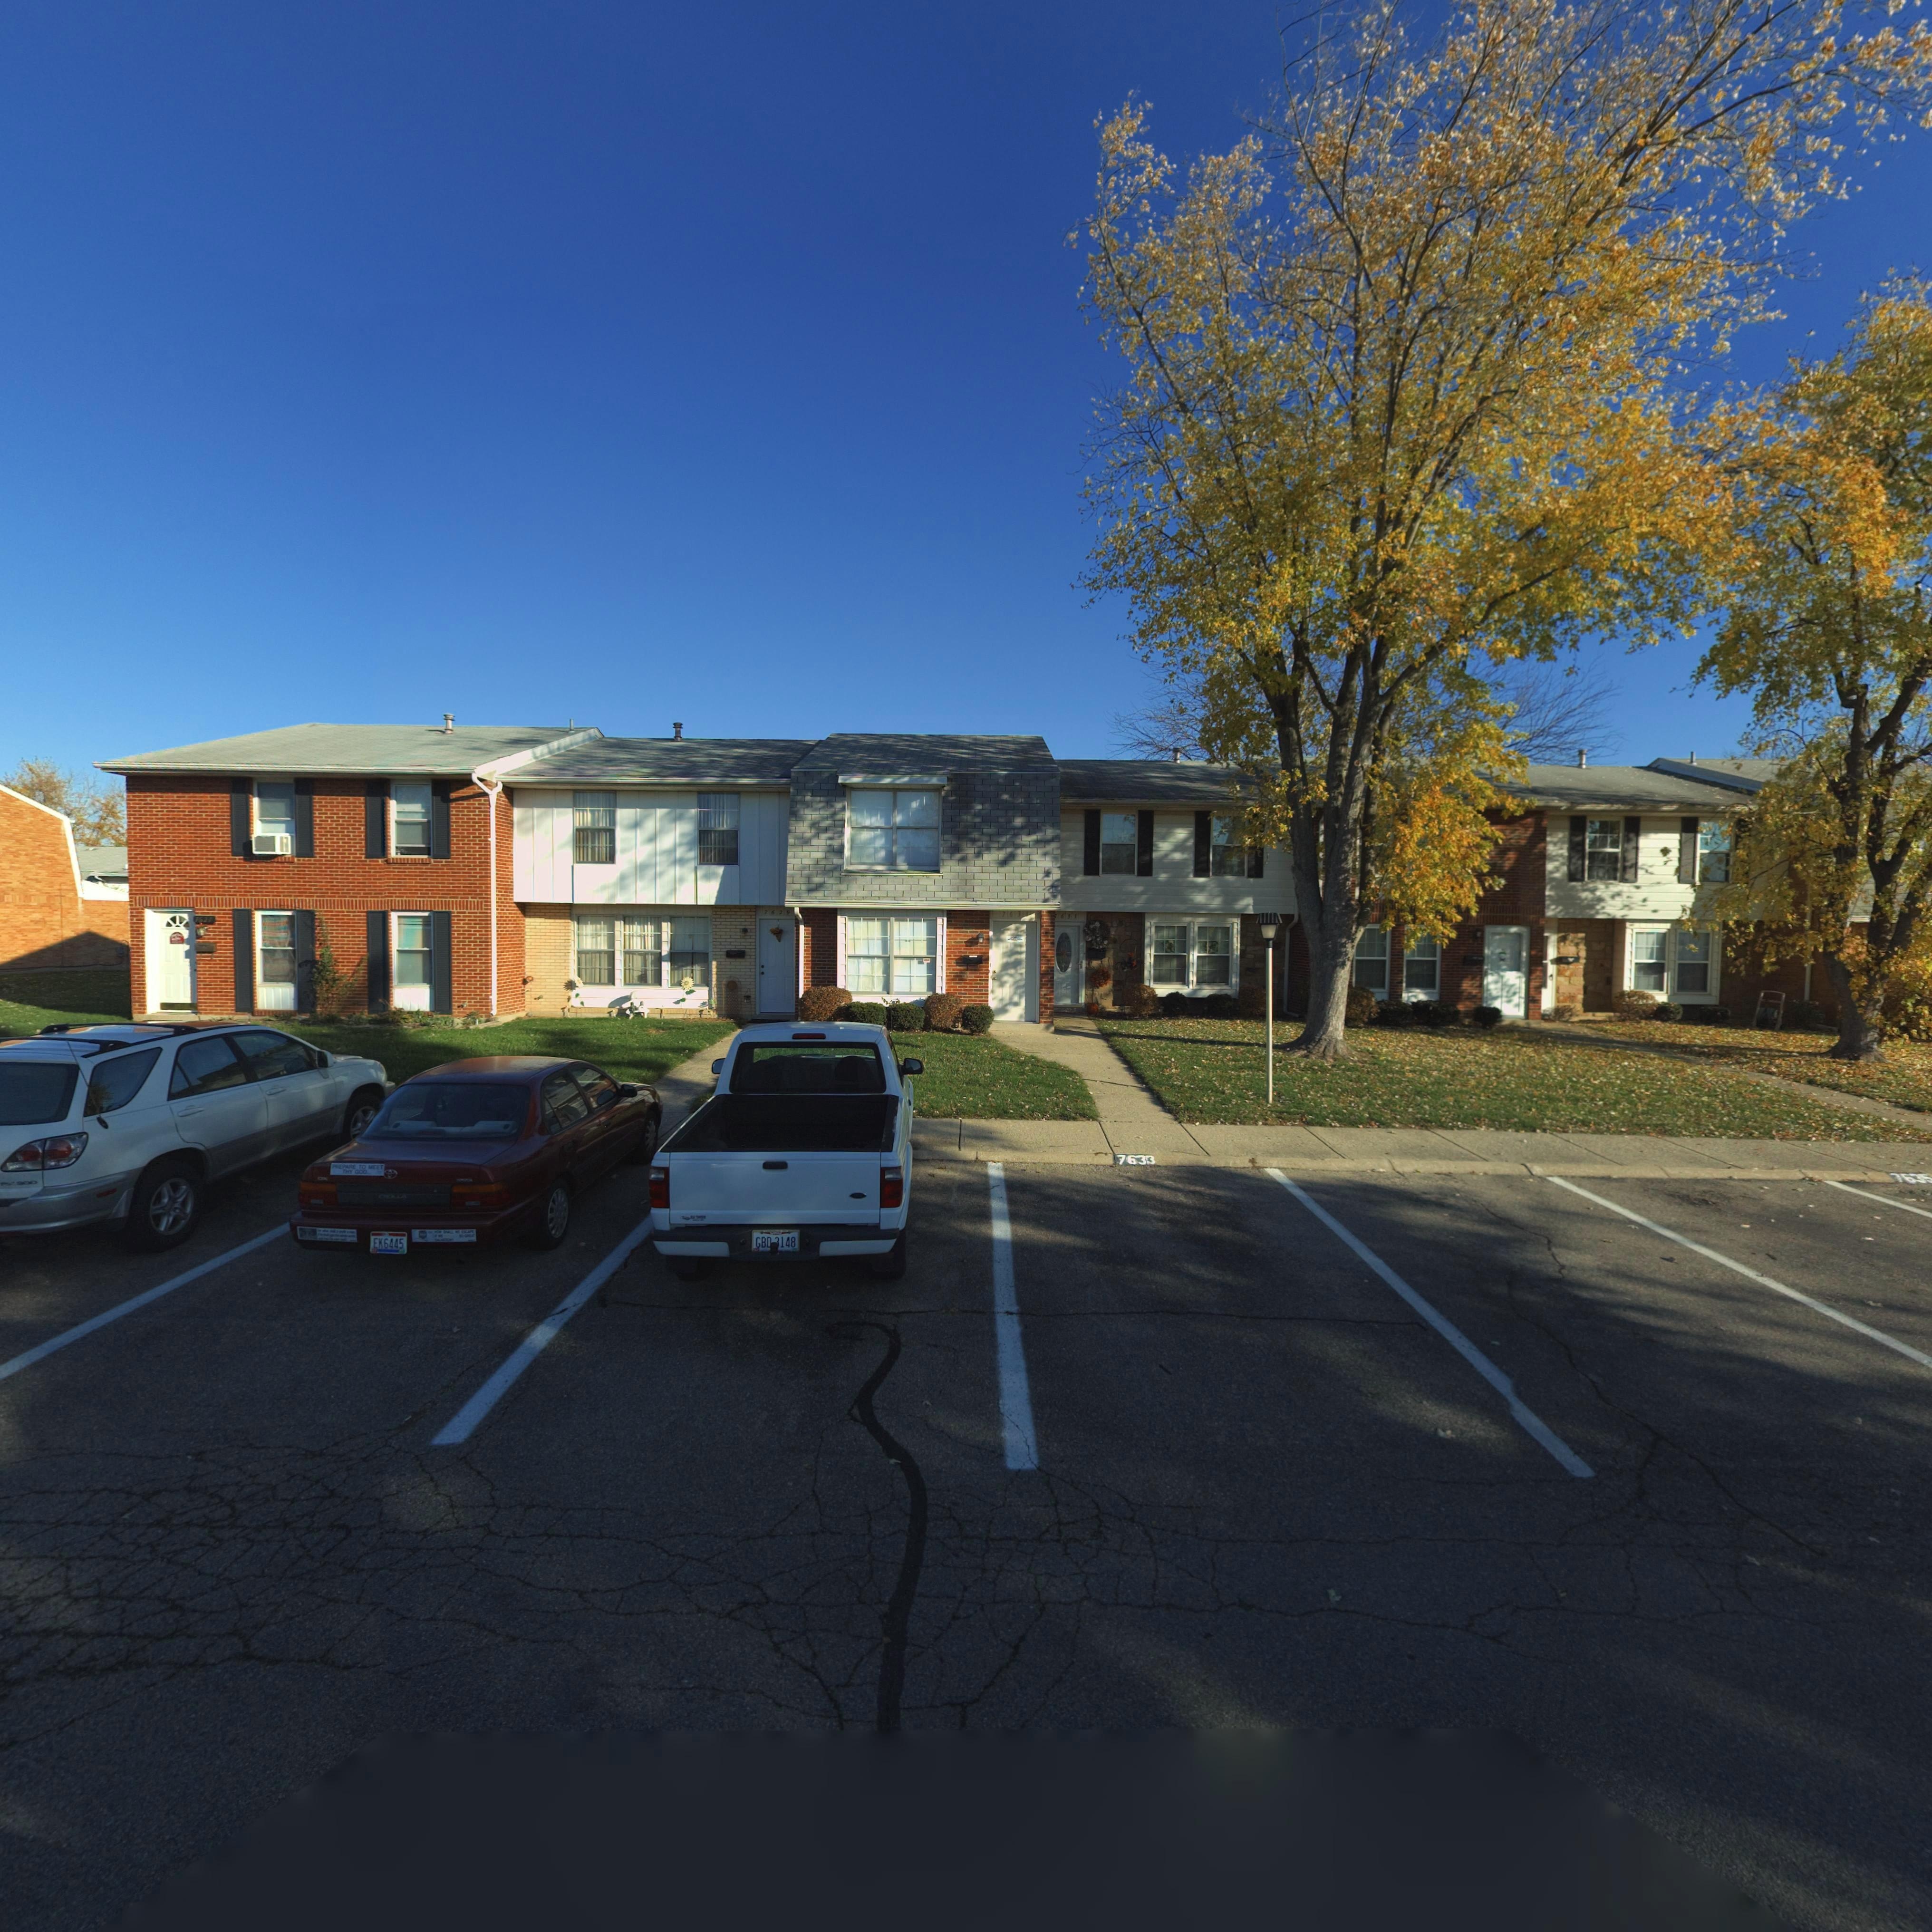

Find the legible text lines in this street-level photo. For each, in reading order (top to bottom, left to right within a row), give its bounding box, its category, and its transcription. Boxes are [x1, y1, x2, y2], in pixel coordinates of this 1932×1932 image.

[194, 916, 214, 923] StreetNumber: 7627
[763, 909, 791, 916] StreetNumber: 7629
[1001, 910, 1029, 918] StreetNumber: 7631
[1054, 913, 1077, 919] StreetNumber: 7633
[1116, 1154, 1156, 1166] StreetNumber: 7633
[1888, 1172, 1932, 1184] StreetNumber: 7635